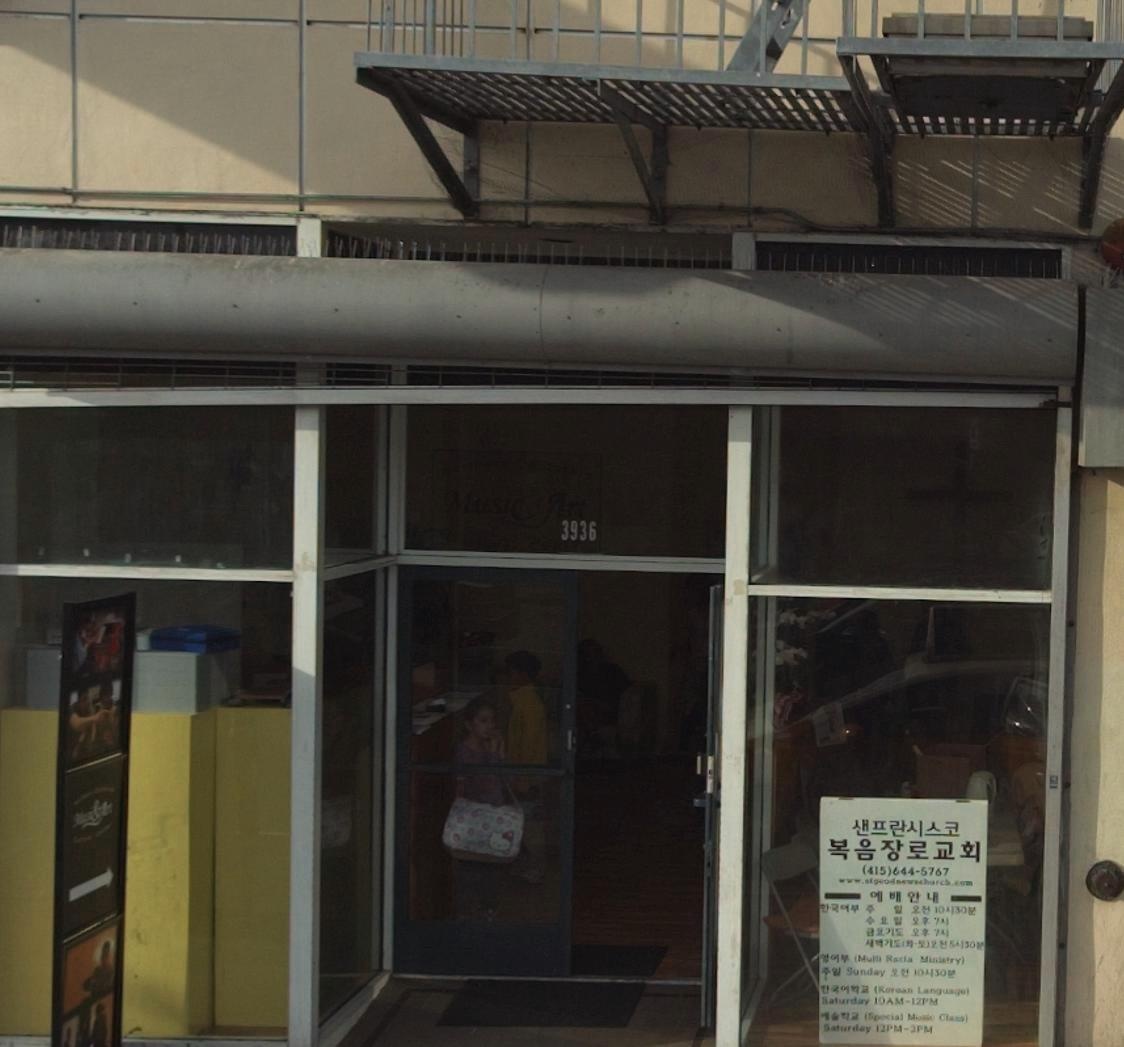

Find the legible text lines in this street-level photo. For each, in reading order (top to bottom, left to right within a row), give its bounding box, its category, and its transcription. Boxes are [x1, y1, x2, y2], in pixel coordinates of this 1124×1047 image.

[559, 518, 598, 543] StreetNumber: 3936
[861, 863, 953, 878] None: (415)644-5767
[933, 904, 969, 916] None: 10430
[845, 964, 902, 979] None: Sunday 2
[912, 967, 948, 979] None: 10430
[820, 994, 941, 1009] None: Saturday 10AM-12PM
[822, 1020, 935, 1035] None: Saturdau 12PM-3PM